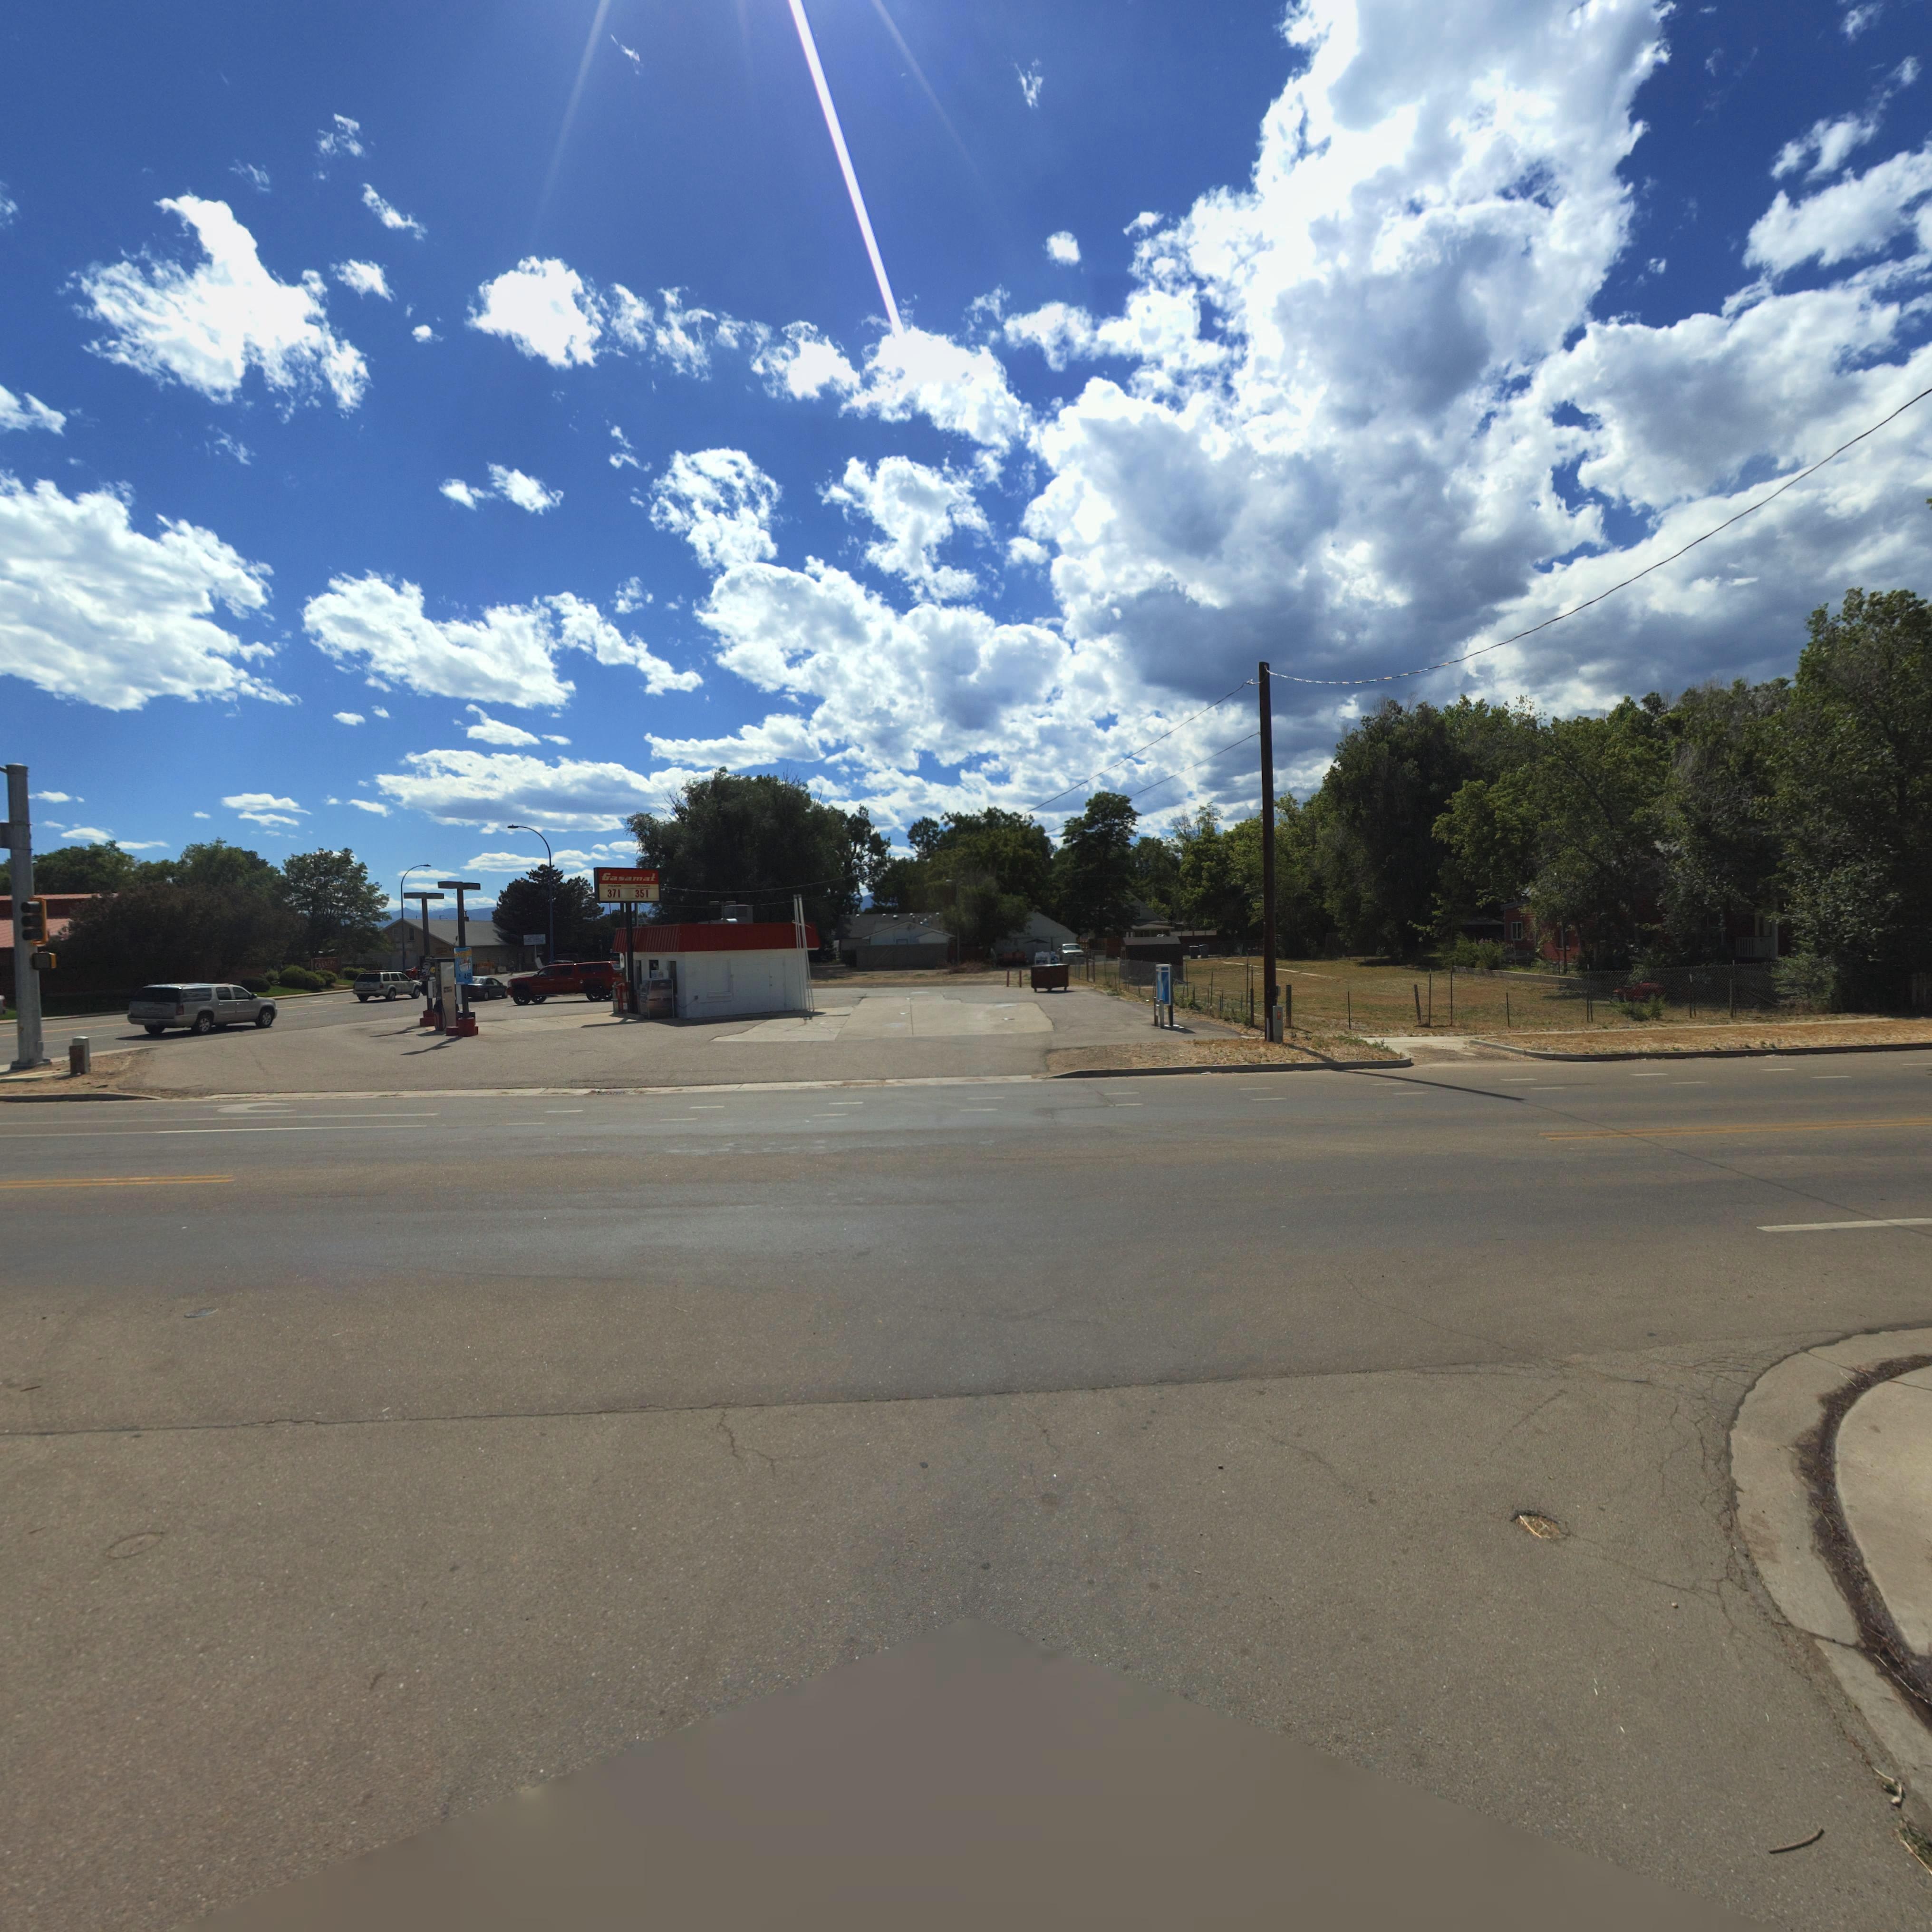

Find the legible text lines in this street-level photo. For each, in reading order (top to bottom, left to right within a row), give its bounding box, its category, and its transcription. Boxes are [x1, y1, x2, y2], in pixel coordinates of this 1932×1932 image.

[601, 871, 656, 881] BusinessName: GASAMAT